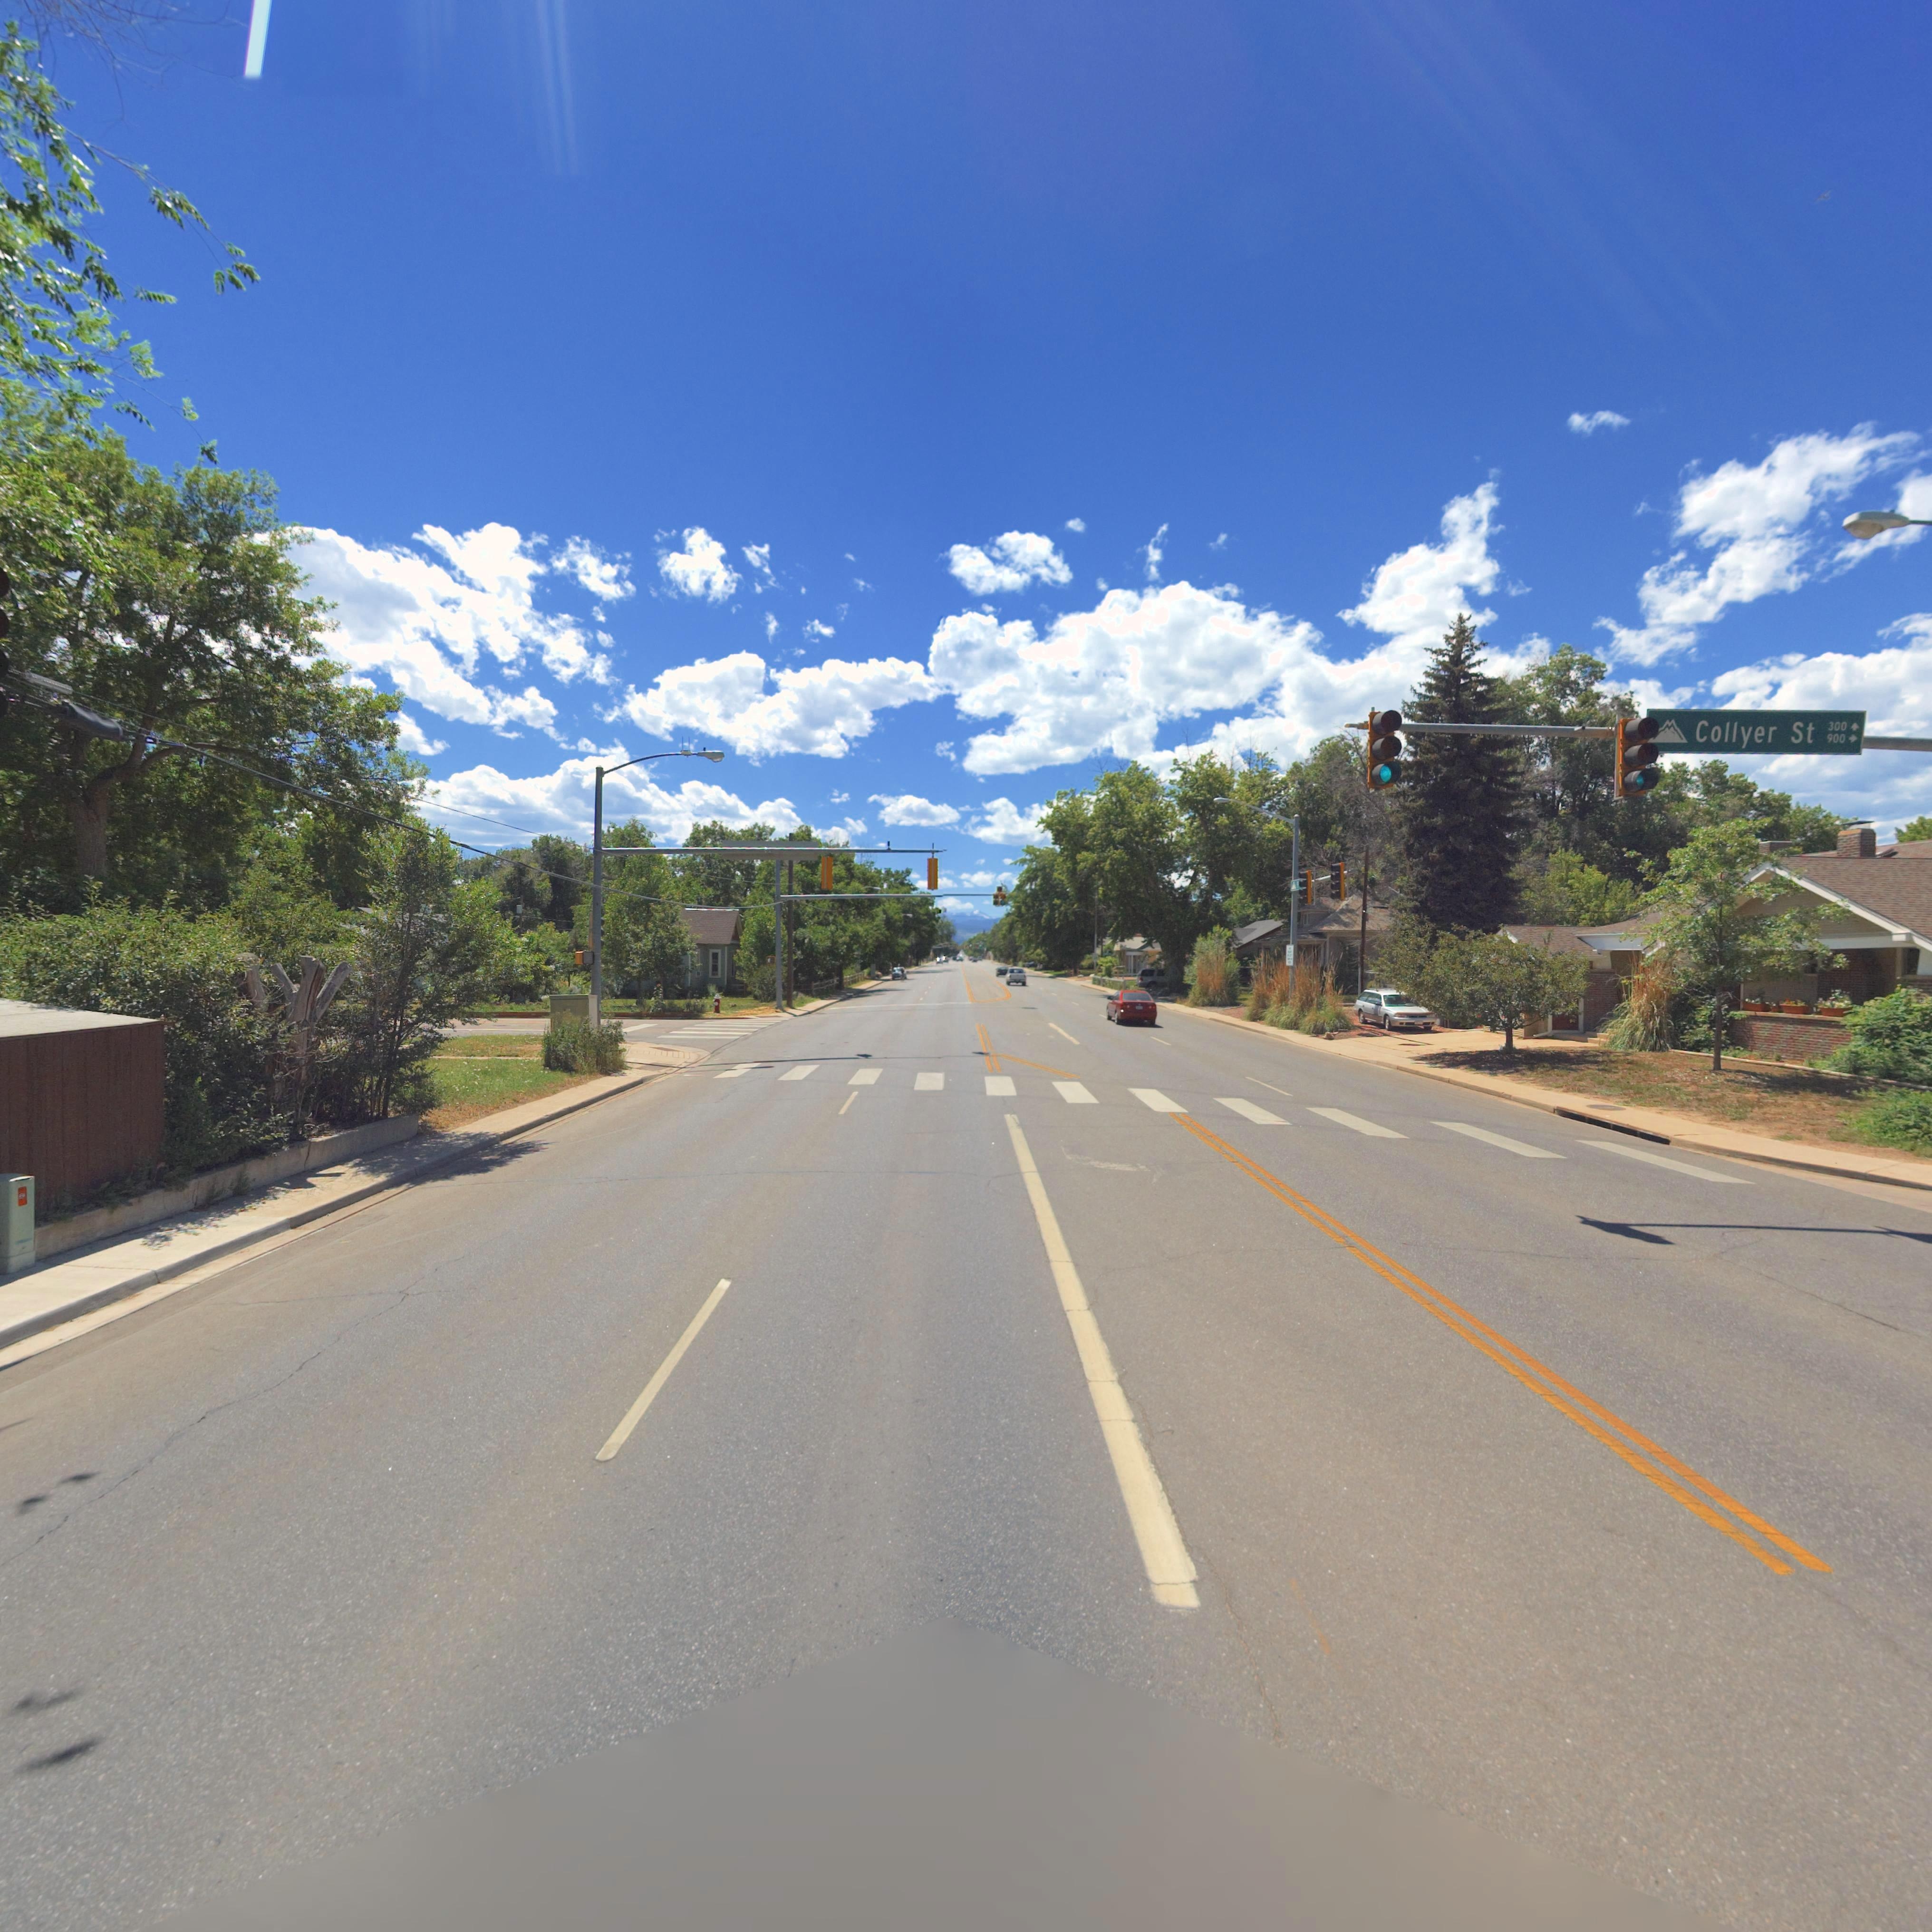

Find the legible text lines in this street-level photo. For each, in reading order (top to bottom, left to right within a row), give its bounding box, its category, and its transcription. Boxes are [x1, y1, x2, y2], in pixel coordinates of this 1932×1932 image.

[1828, 722, 1847, 731] StreetNumberRange: 300
[1696, 721, 1814, 748] StreetName: Collyer St
[1826, 733, 1858, 744] StreetNumberRange: 900->